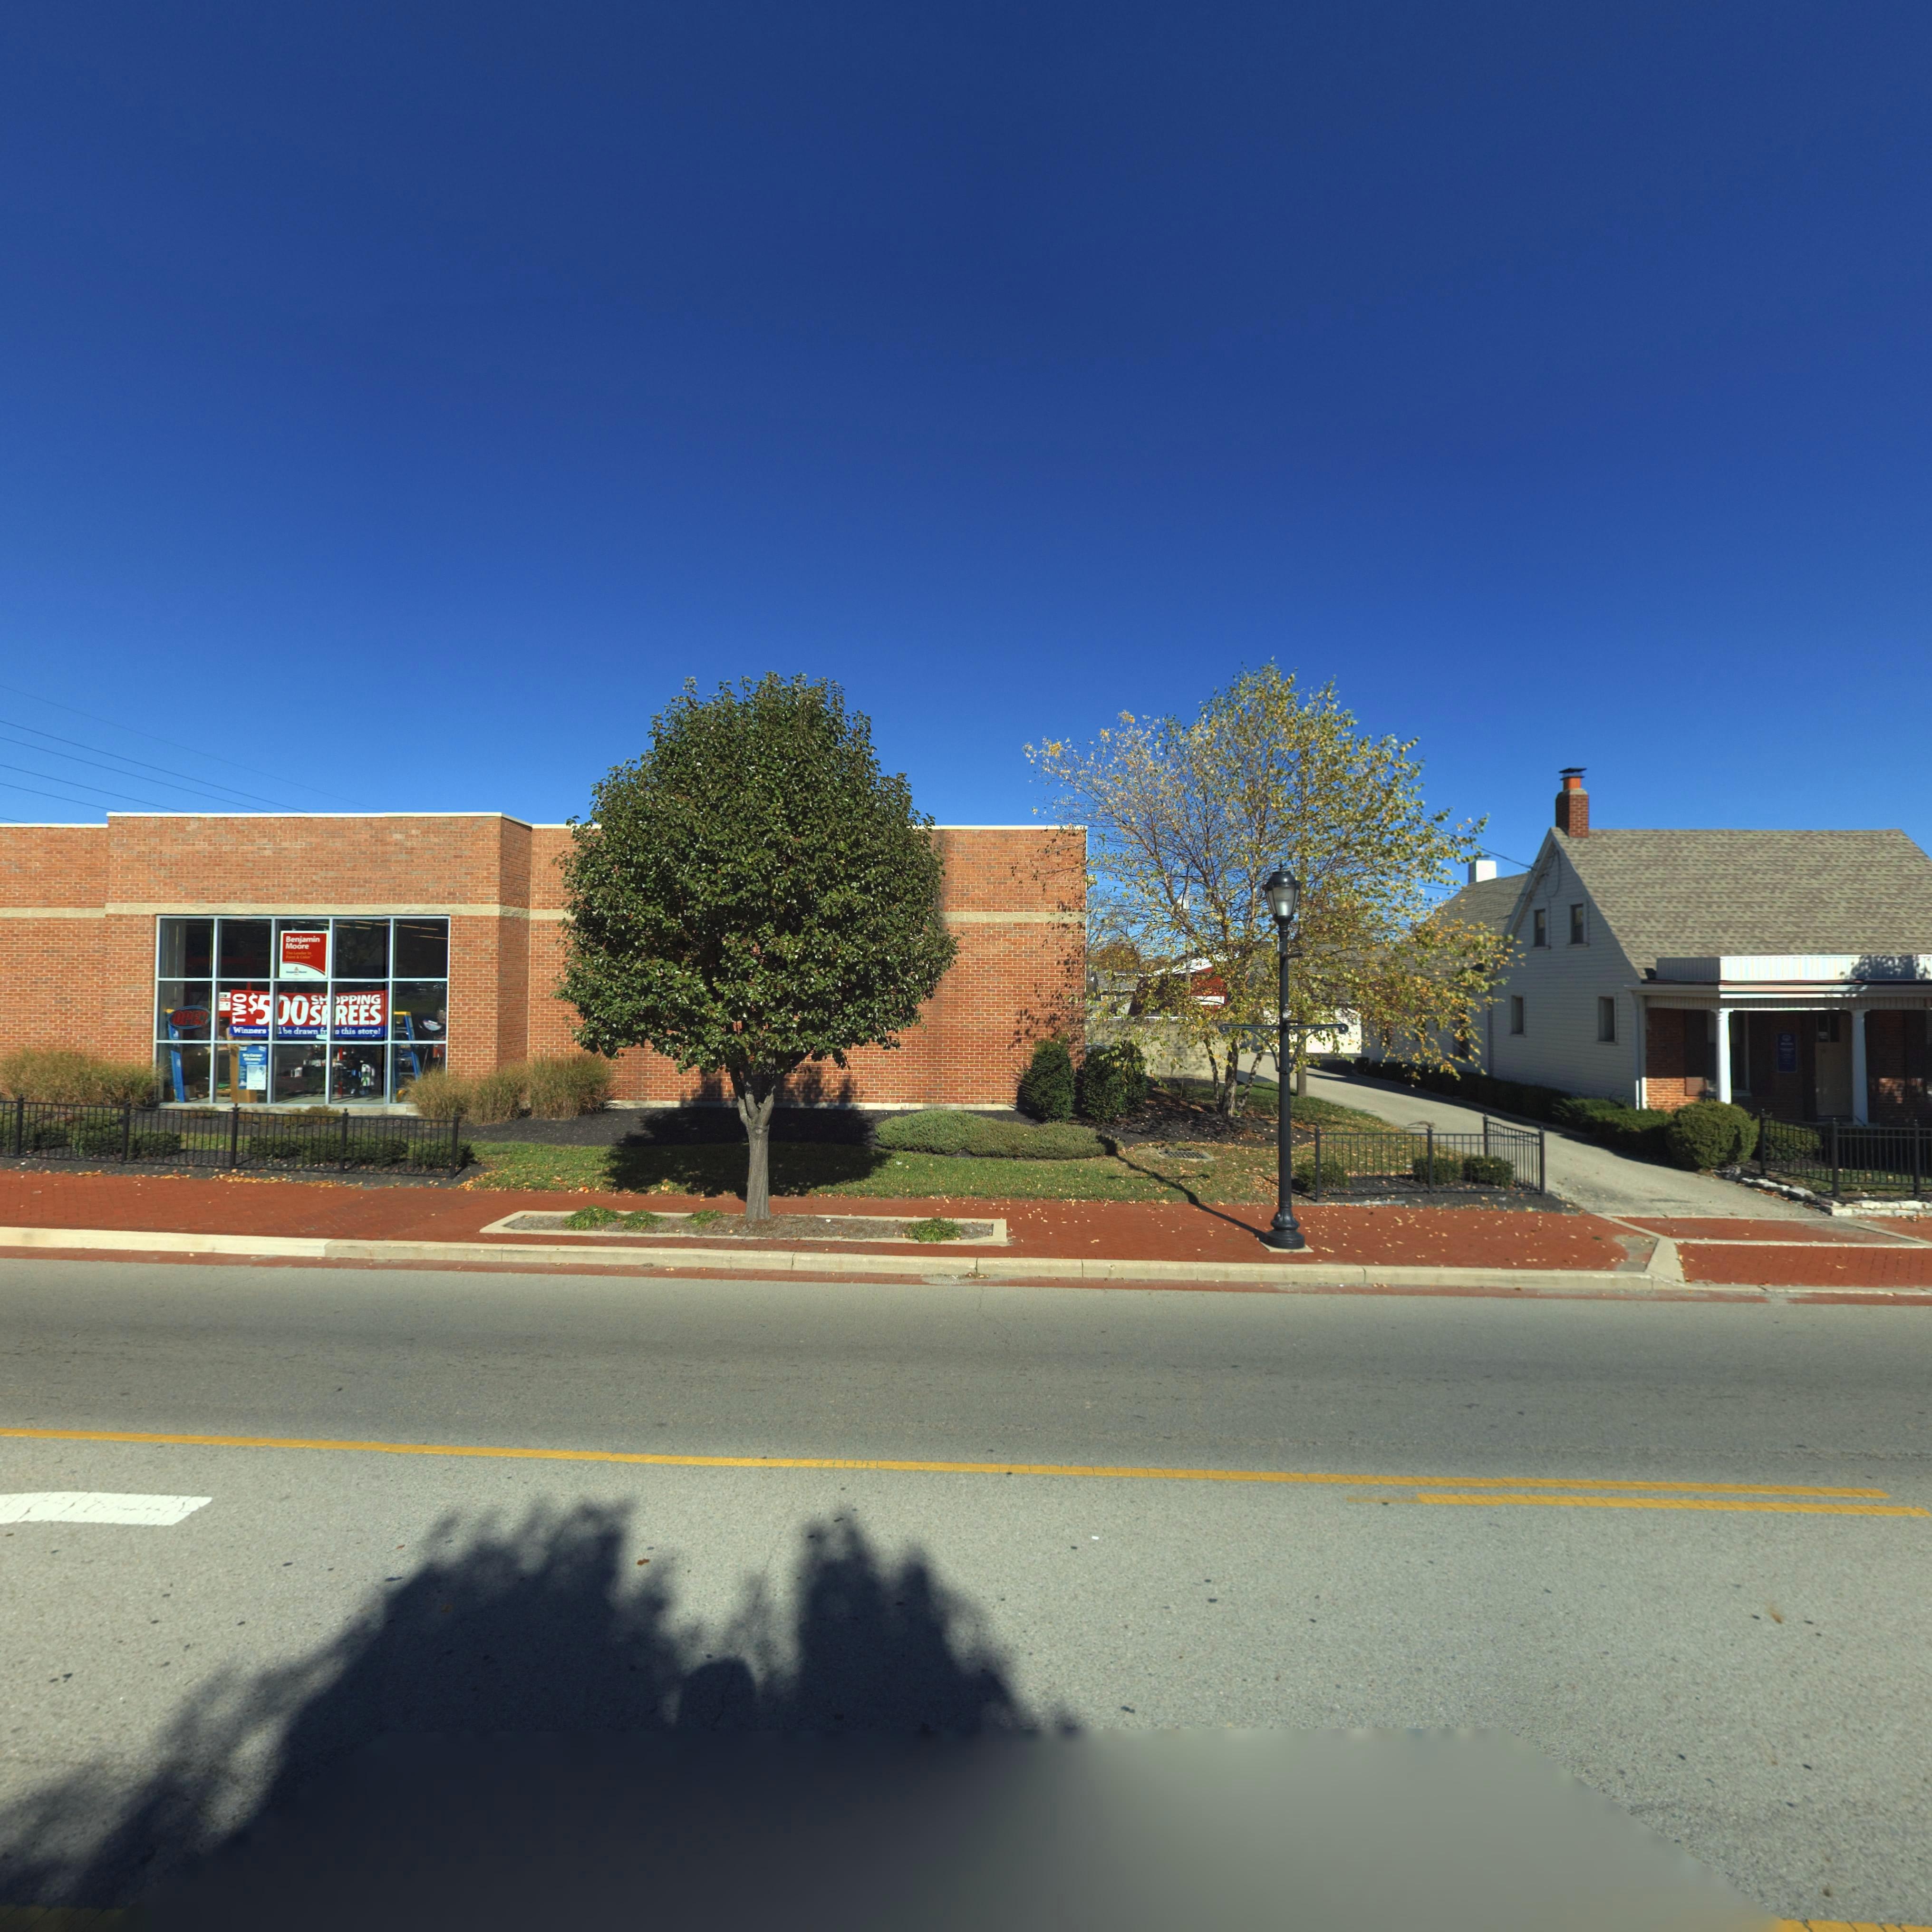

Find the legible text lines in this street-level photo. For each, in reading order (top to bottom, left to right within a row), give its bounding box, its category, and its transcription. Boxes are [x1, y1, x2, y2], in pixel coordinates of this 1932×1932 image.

[285, 935, 320, 945] None: Benjamin
[285, 942, 310, 950] None: Moore
[310, 994, 382, 1005] None: SH*PPING
[1922, 997, 1928, 1008] StreetNumber: 1
[171, 1010, 209, 1026] None: OPEN
[231, 993, 248, 1024] None: TWO
[254, 992, 310, 1027] None: 5*0
[308, 1005, 382, 1026] None: S*REES
[231, 1026, 382, 1035] None: Winners ***l 